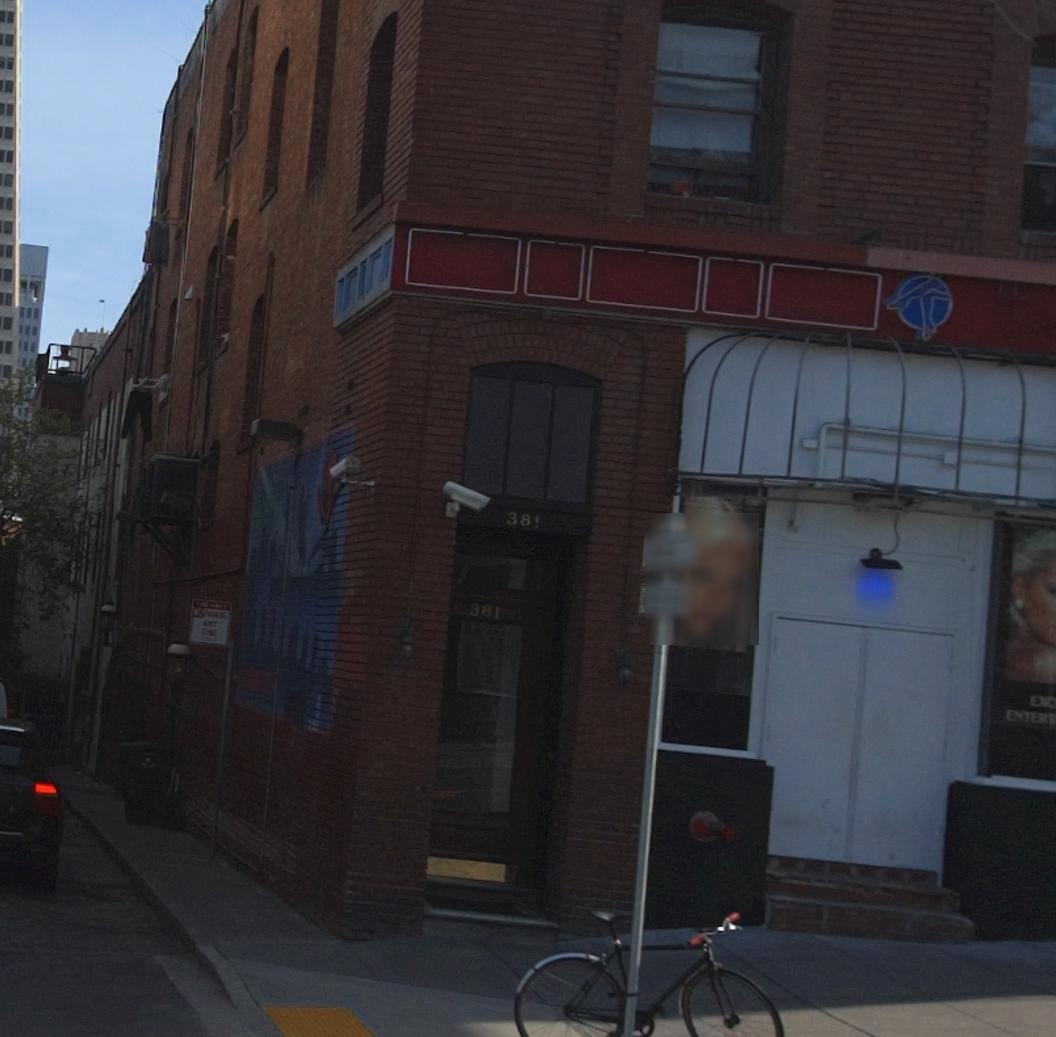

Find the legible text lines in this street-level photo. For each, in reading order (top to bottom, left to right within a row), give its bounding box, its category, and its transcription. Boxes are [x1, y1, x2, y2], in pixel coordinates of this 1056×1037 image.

[504, 510, 543, 531] StreetNumber: 381
[647, 539, 681, 564] None: Bartol
[191, 605, 205, 618] None: NO
[468, 602, 501, 621] StreetNumber: 381
[1005, 706, 1049, 726] None: ENTER